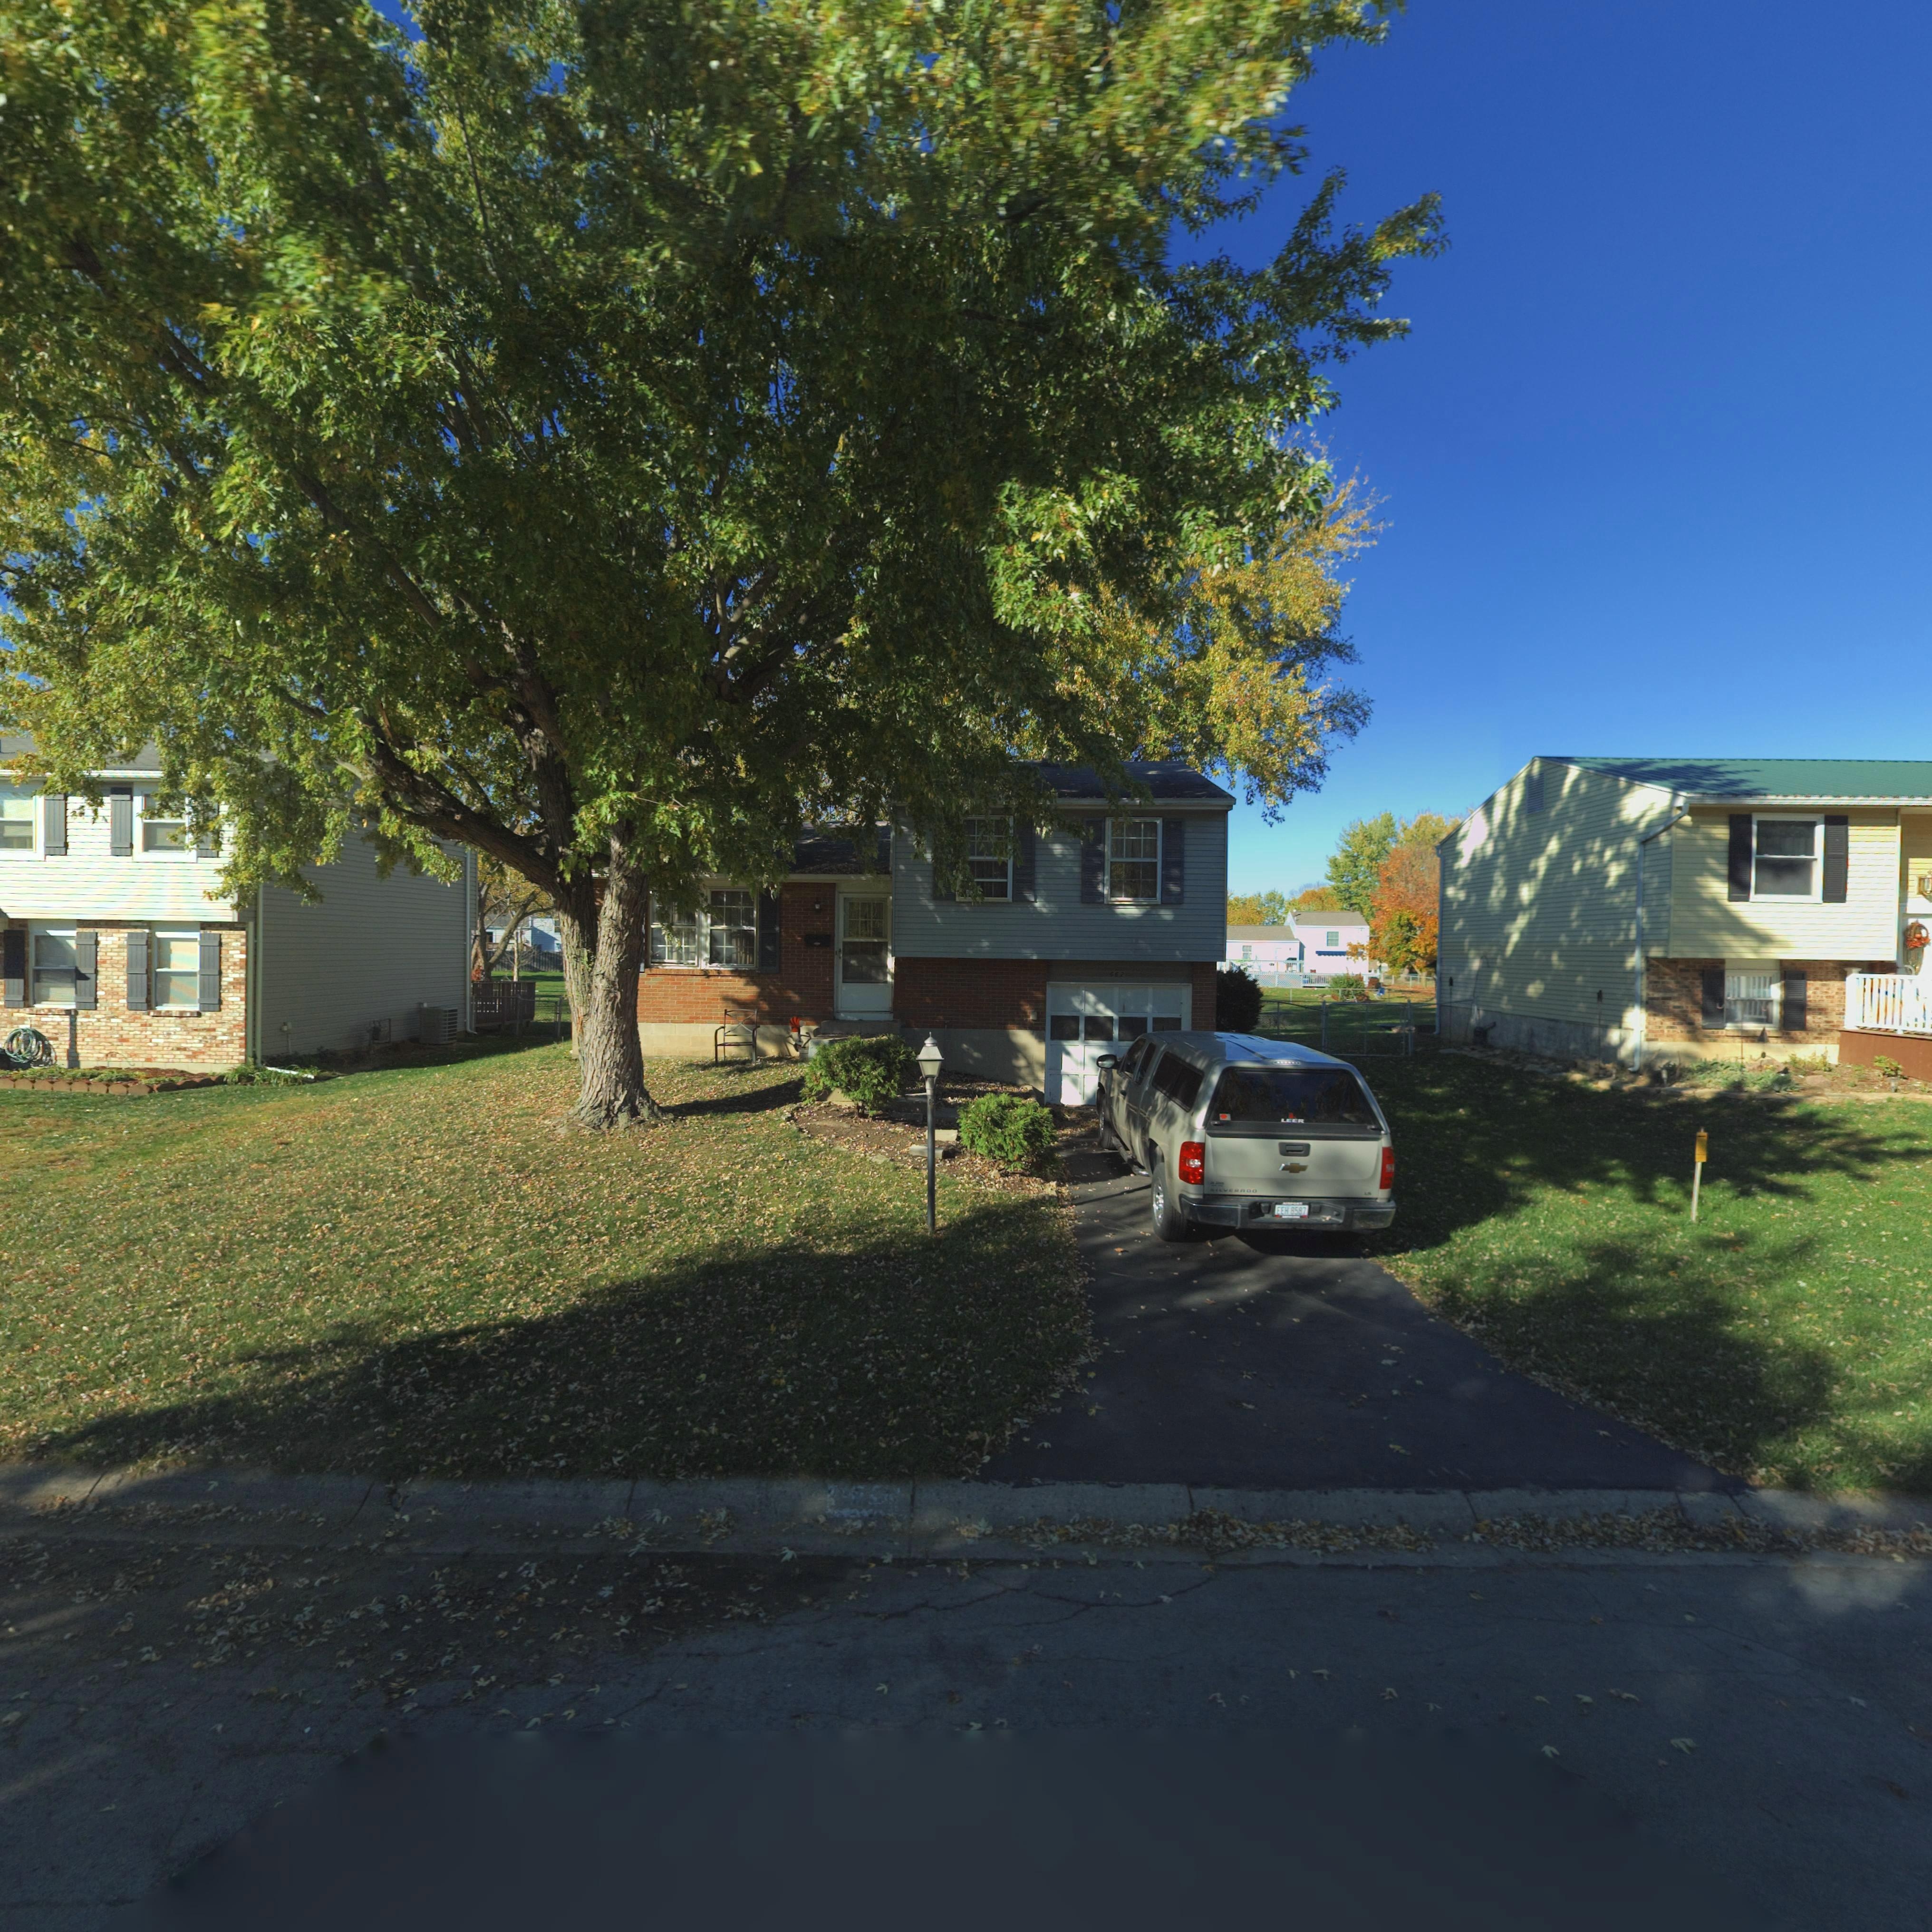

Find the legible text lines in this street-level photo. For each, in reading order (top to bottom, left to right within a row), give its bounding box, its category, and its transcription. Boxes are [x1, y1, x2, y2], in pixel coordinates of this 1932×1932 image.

[1109, 971, 1125, 977] StreetNumber: 662